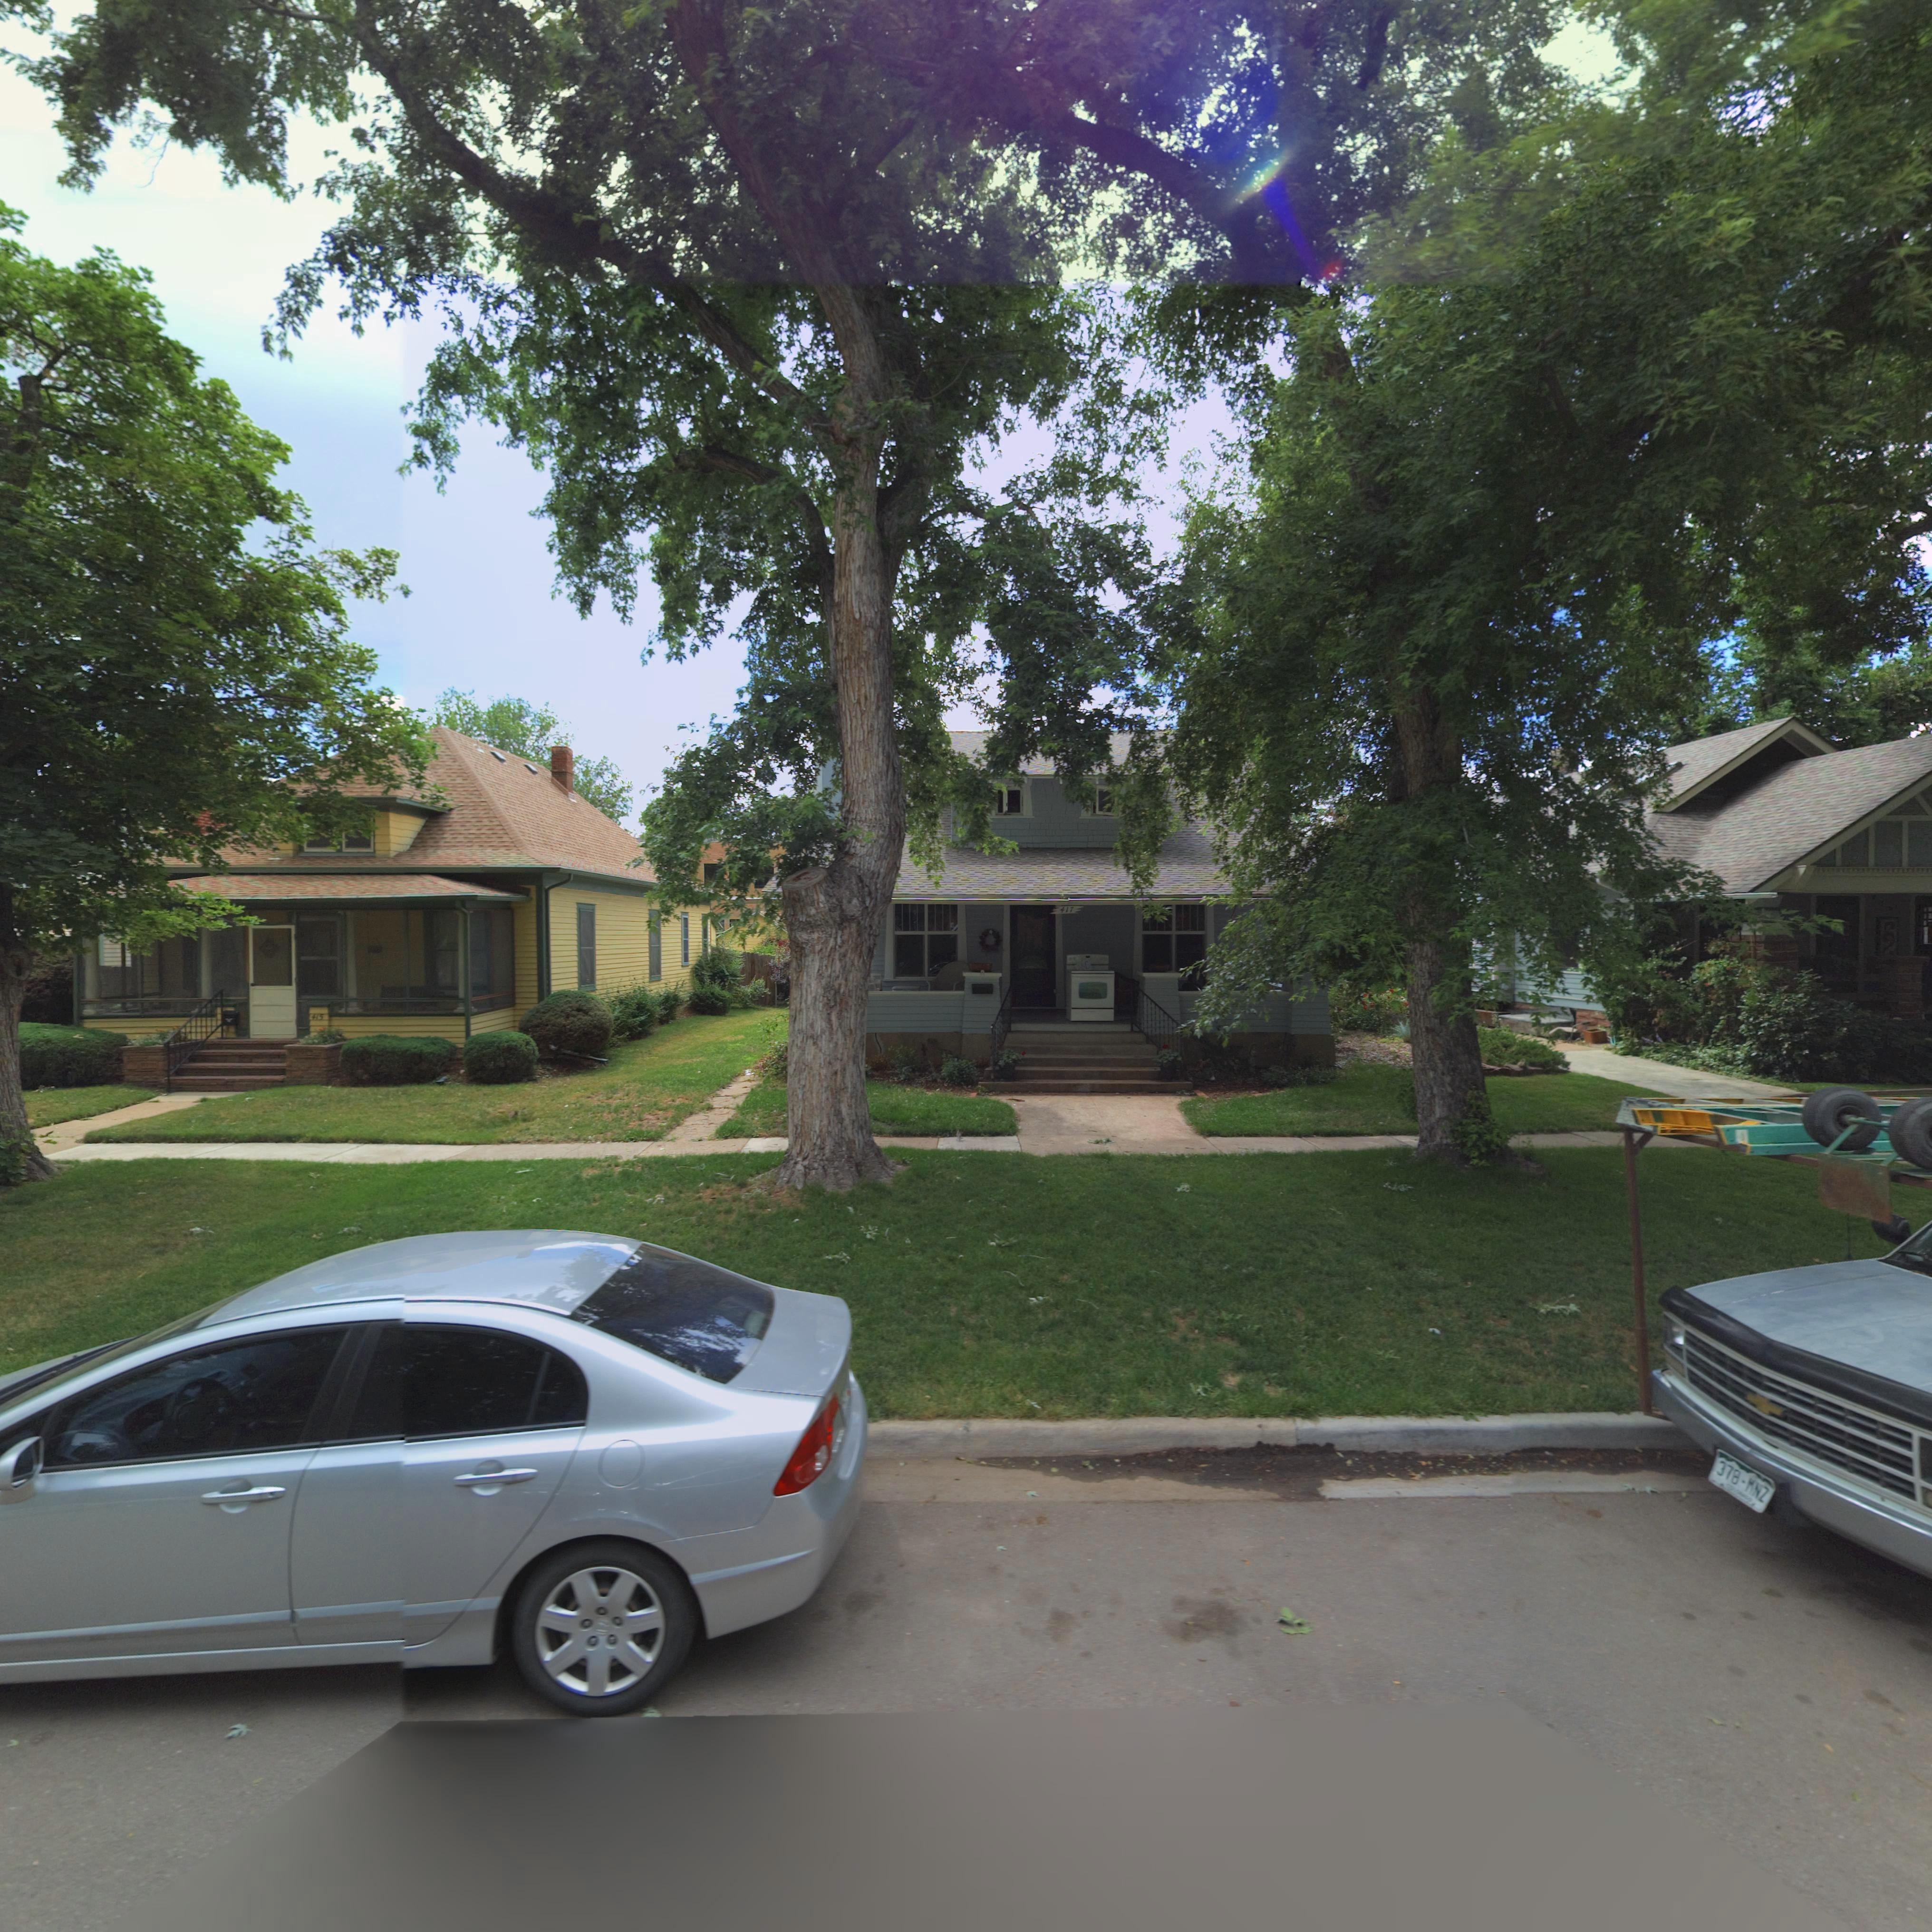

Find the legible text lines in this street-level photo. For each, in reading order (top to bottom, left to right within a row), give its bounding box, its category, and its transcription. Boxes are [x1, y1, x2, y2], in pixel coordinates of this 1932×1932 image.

[1060, 906, 1074, 913] StreetNumber: 417
[311, 1014, 325, 1021] StreetNumber: 415